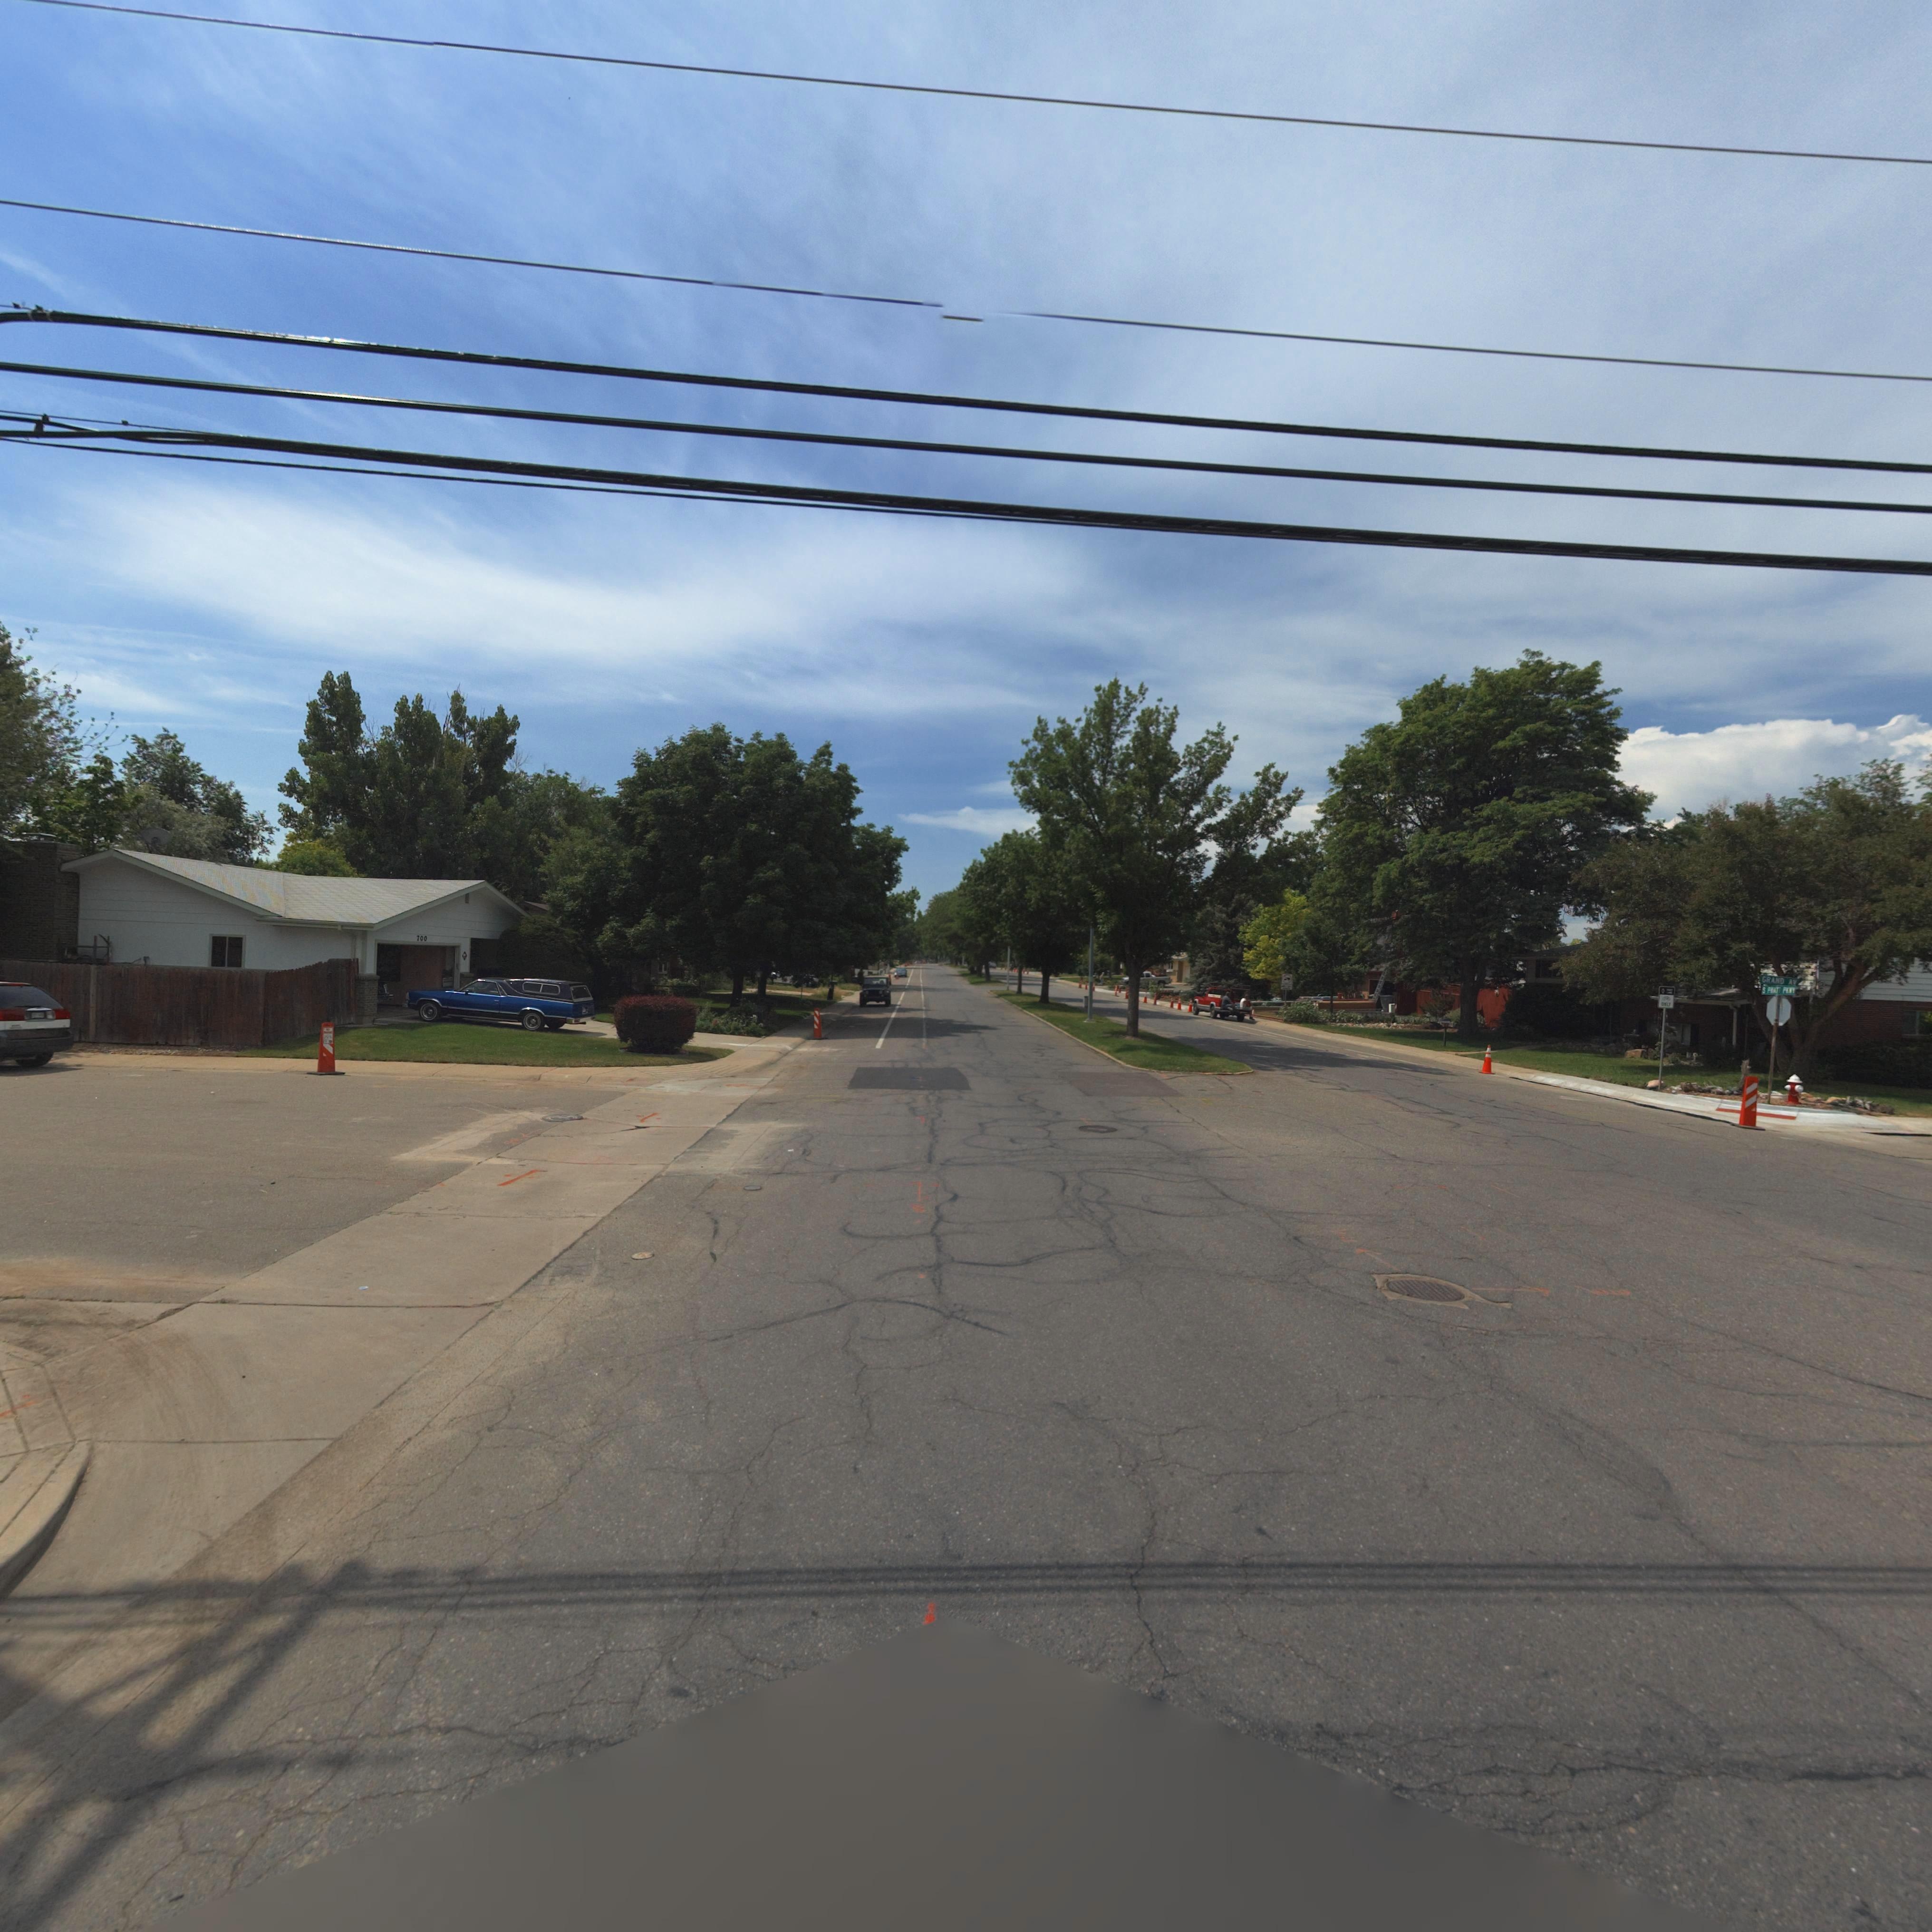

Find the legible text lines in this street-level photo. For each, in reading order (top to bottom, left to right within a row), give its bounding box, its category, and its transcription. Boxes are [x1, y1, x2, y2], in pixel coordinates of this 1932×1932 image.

[416, 935, 428, 941] StreetNumber: 700
[1761, 975, 1797, 985] StreetName: GRAND AV
[1761, 986, 1795, 994] StreetName: S PRATT PKWY